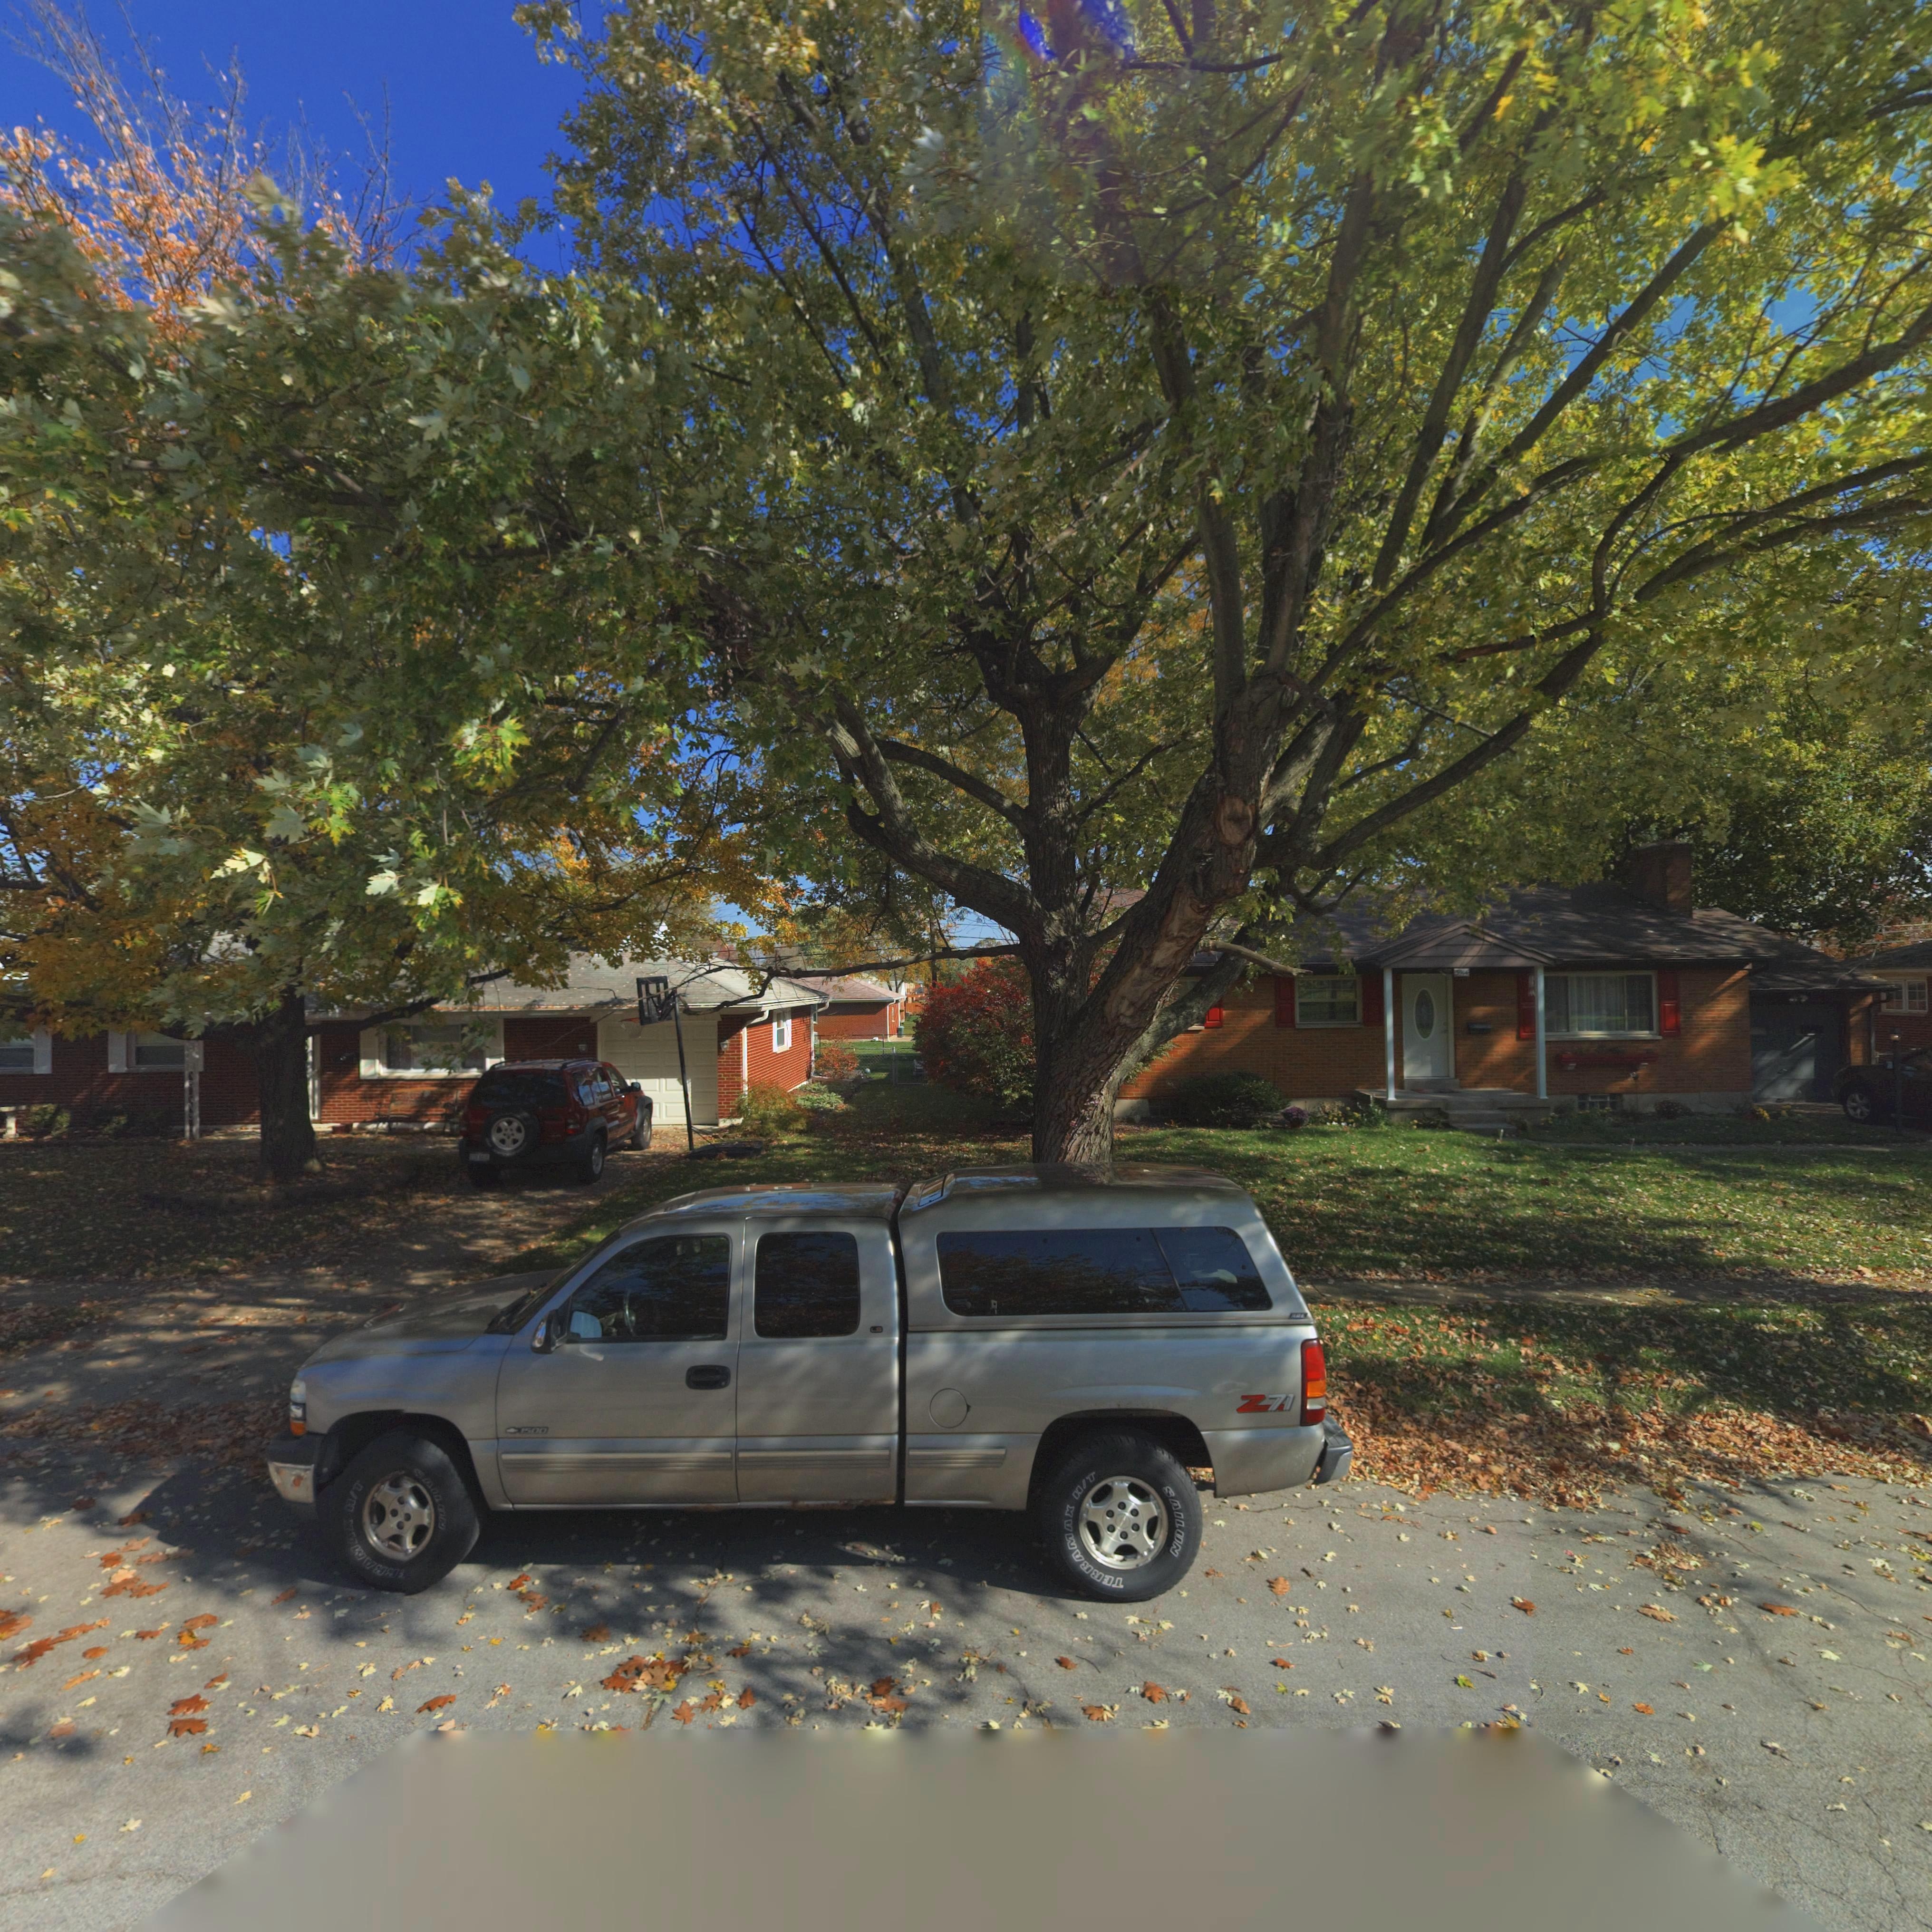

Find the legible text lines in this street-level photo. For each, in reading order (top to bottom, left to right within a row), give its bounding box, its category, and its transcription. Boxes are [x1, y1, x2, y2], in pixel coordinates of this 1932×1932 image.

[1235, 1392, 1297, 1413] None: Z71
[520, 1427, 547, 1435] None: 1500